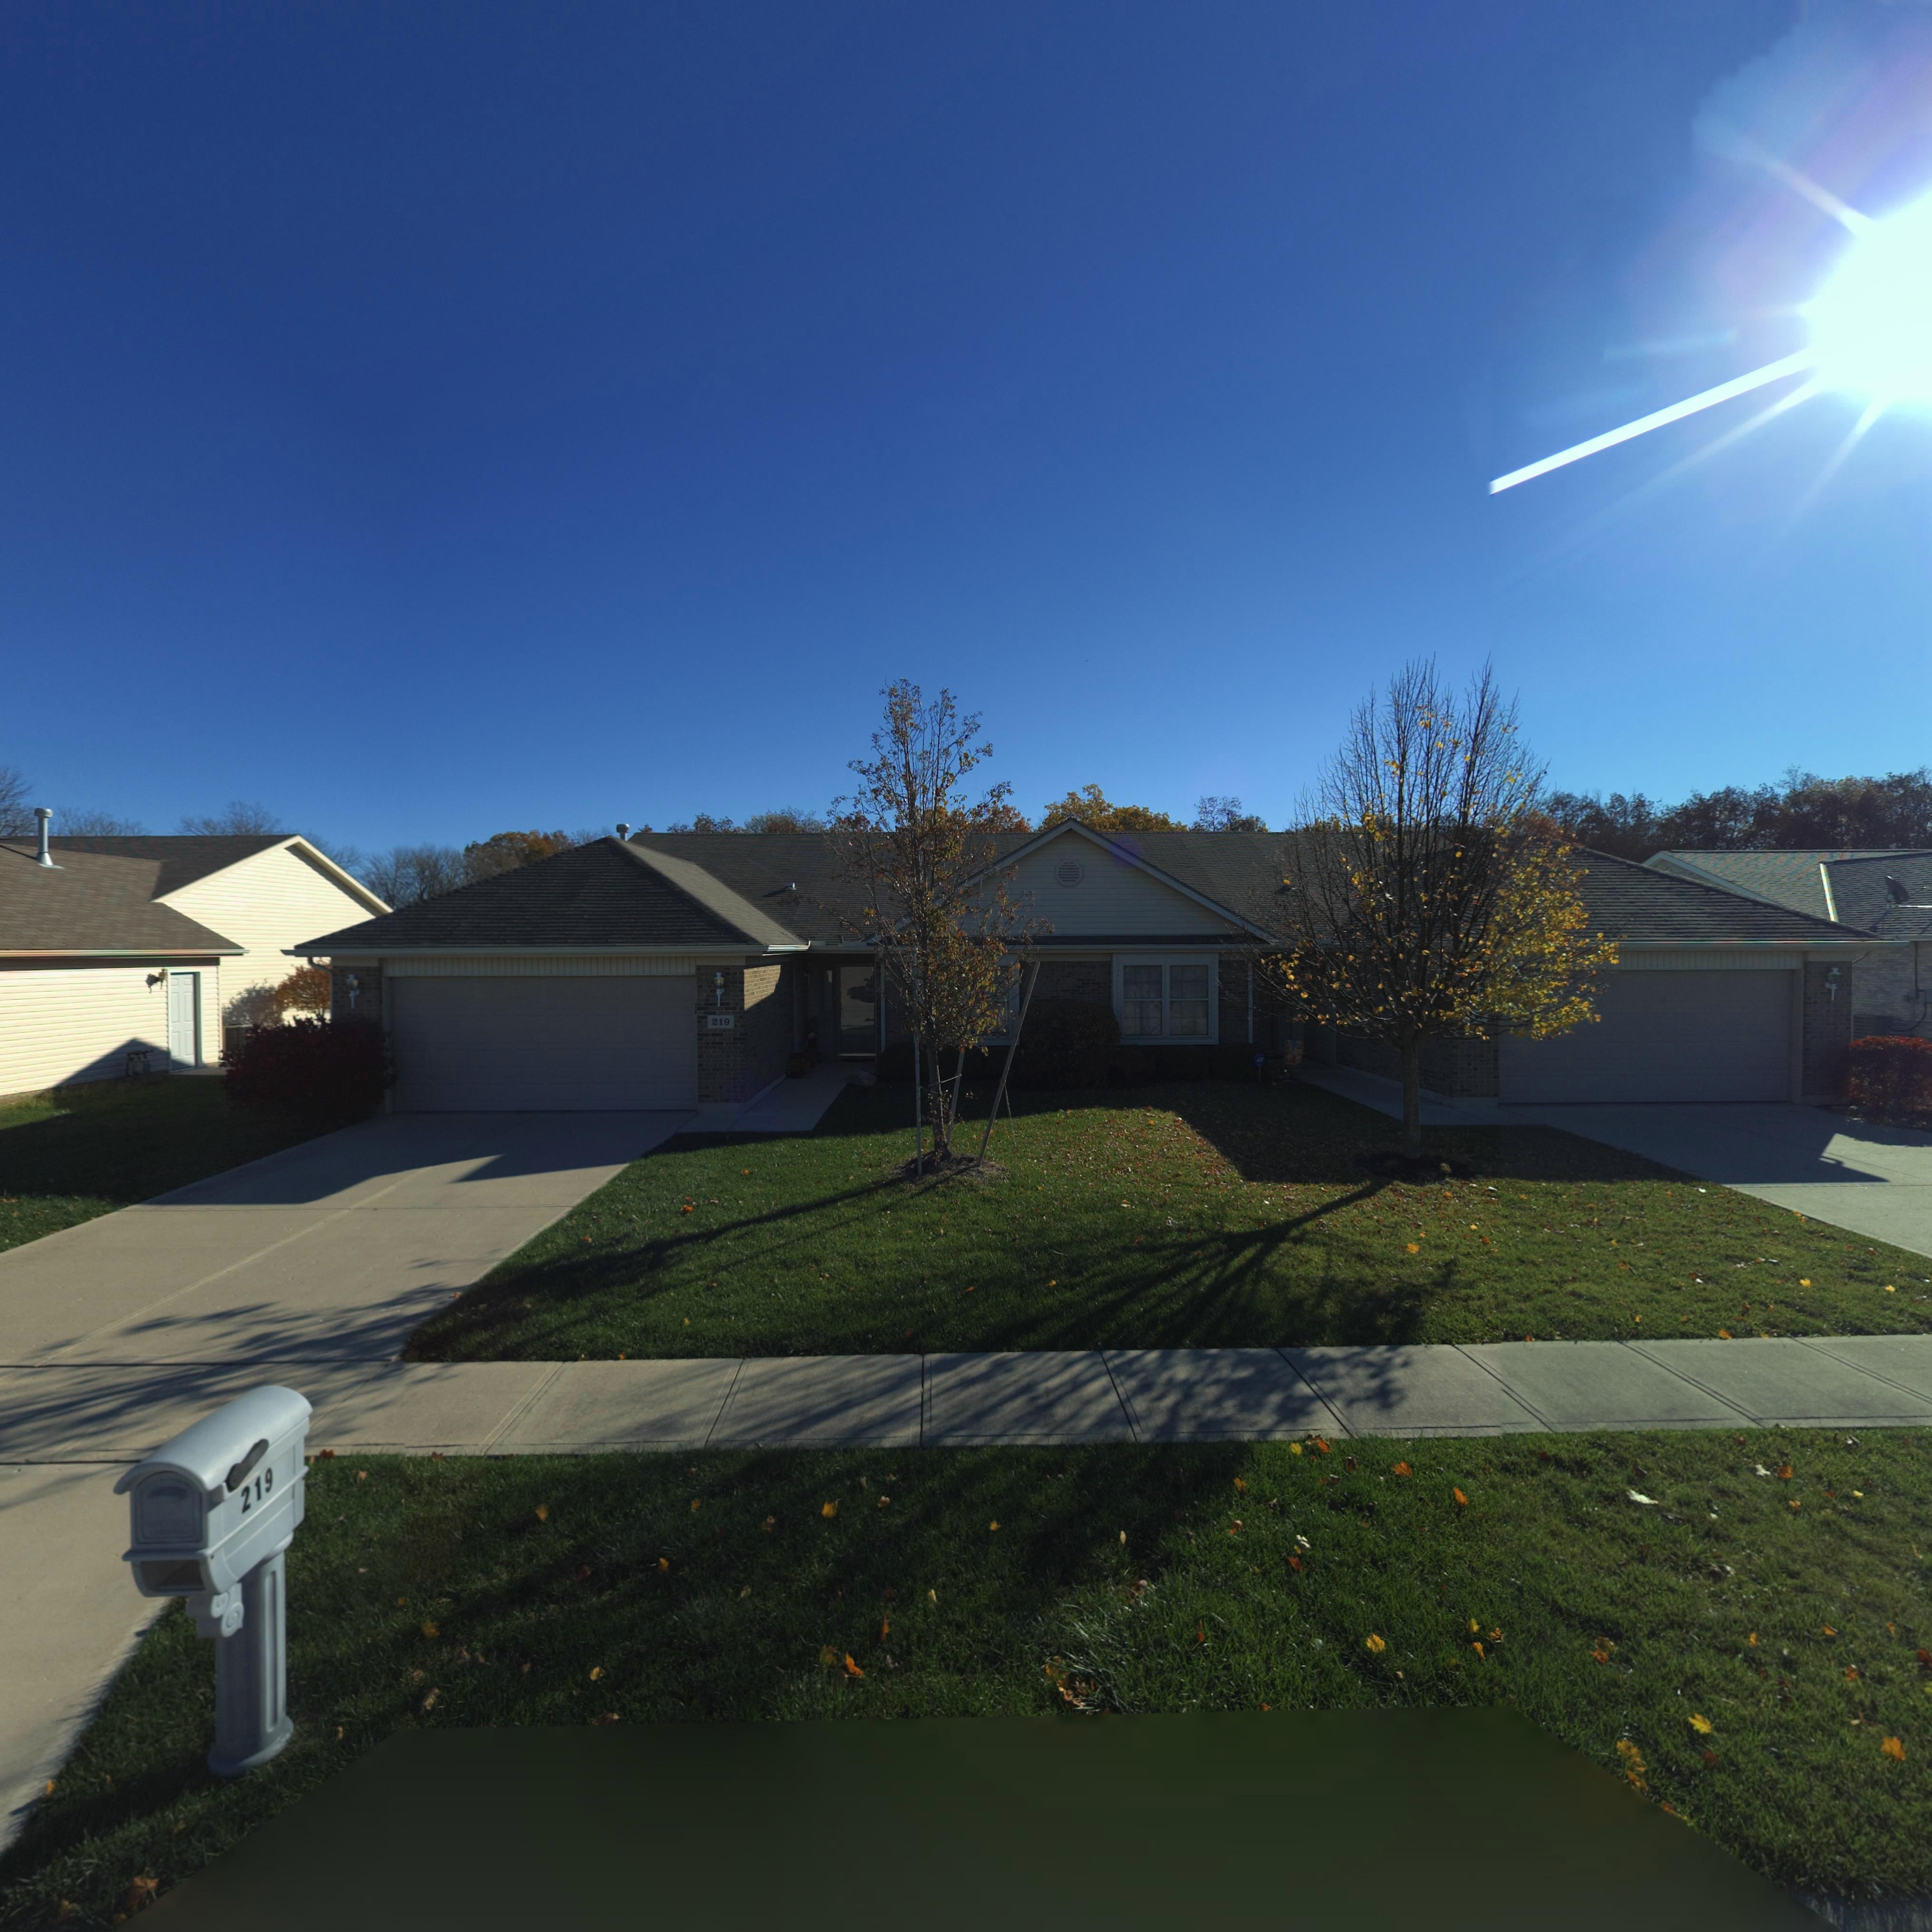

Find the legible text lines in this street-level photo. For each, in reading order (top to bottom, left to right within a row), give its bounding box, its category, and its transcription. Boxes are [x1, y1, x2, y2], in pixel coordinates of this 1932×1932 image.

[711, 1017, 731, 1026] StreetNumber: 219
[239, 1463, 275, 1517] StreetNumber: 219